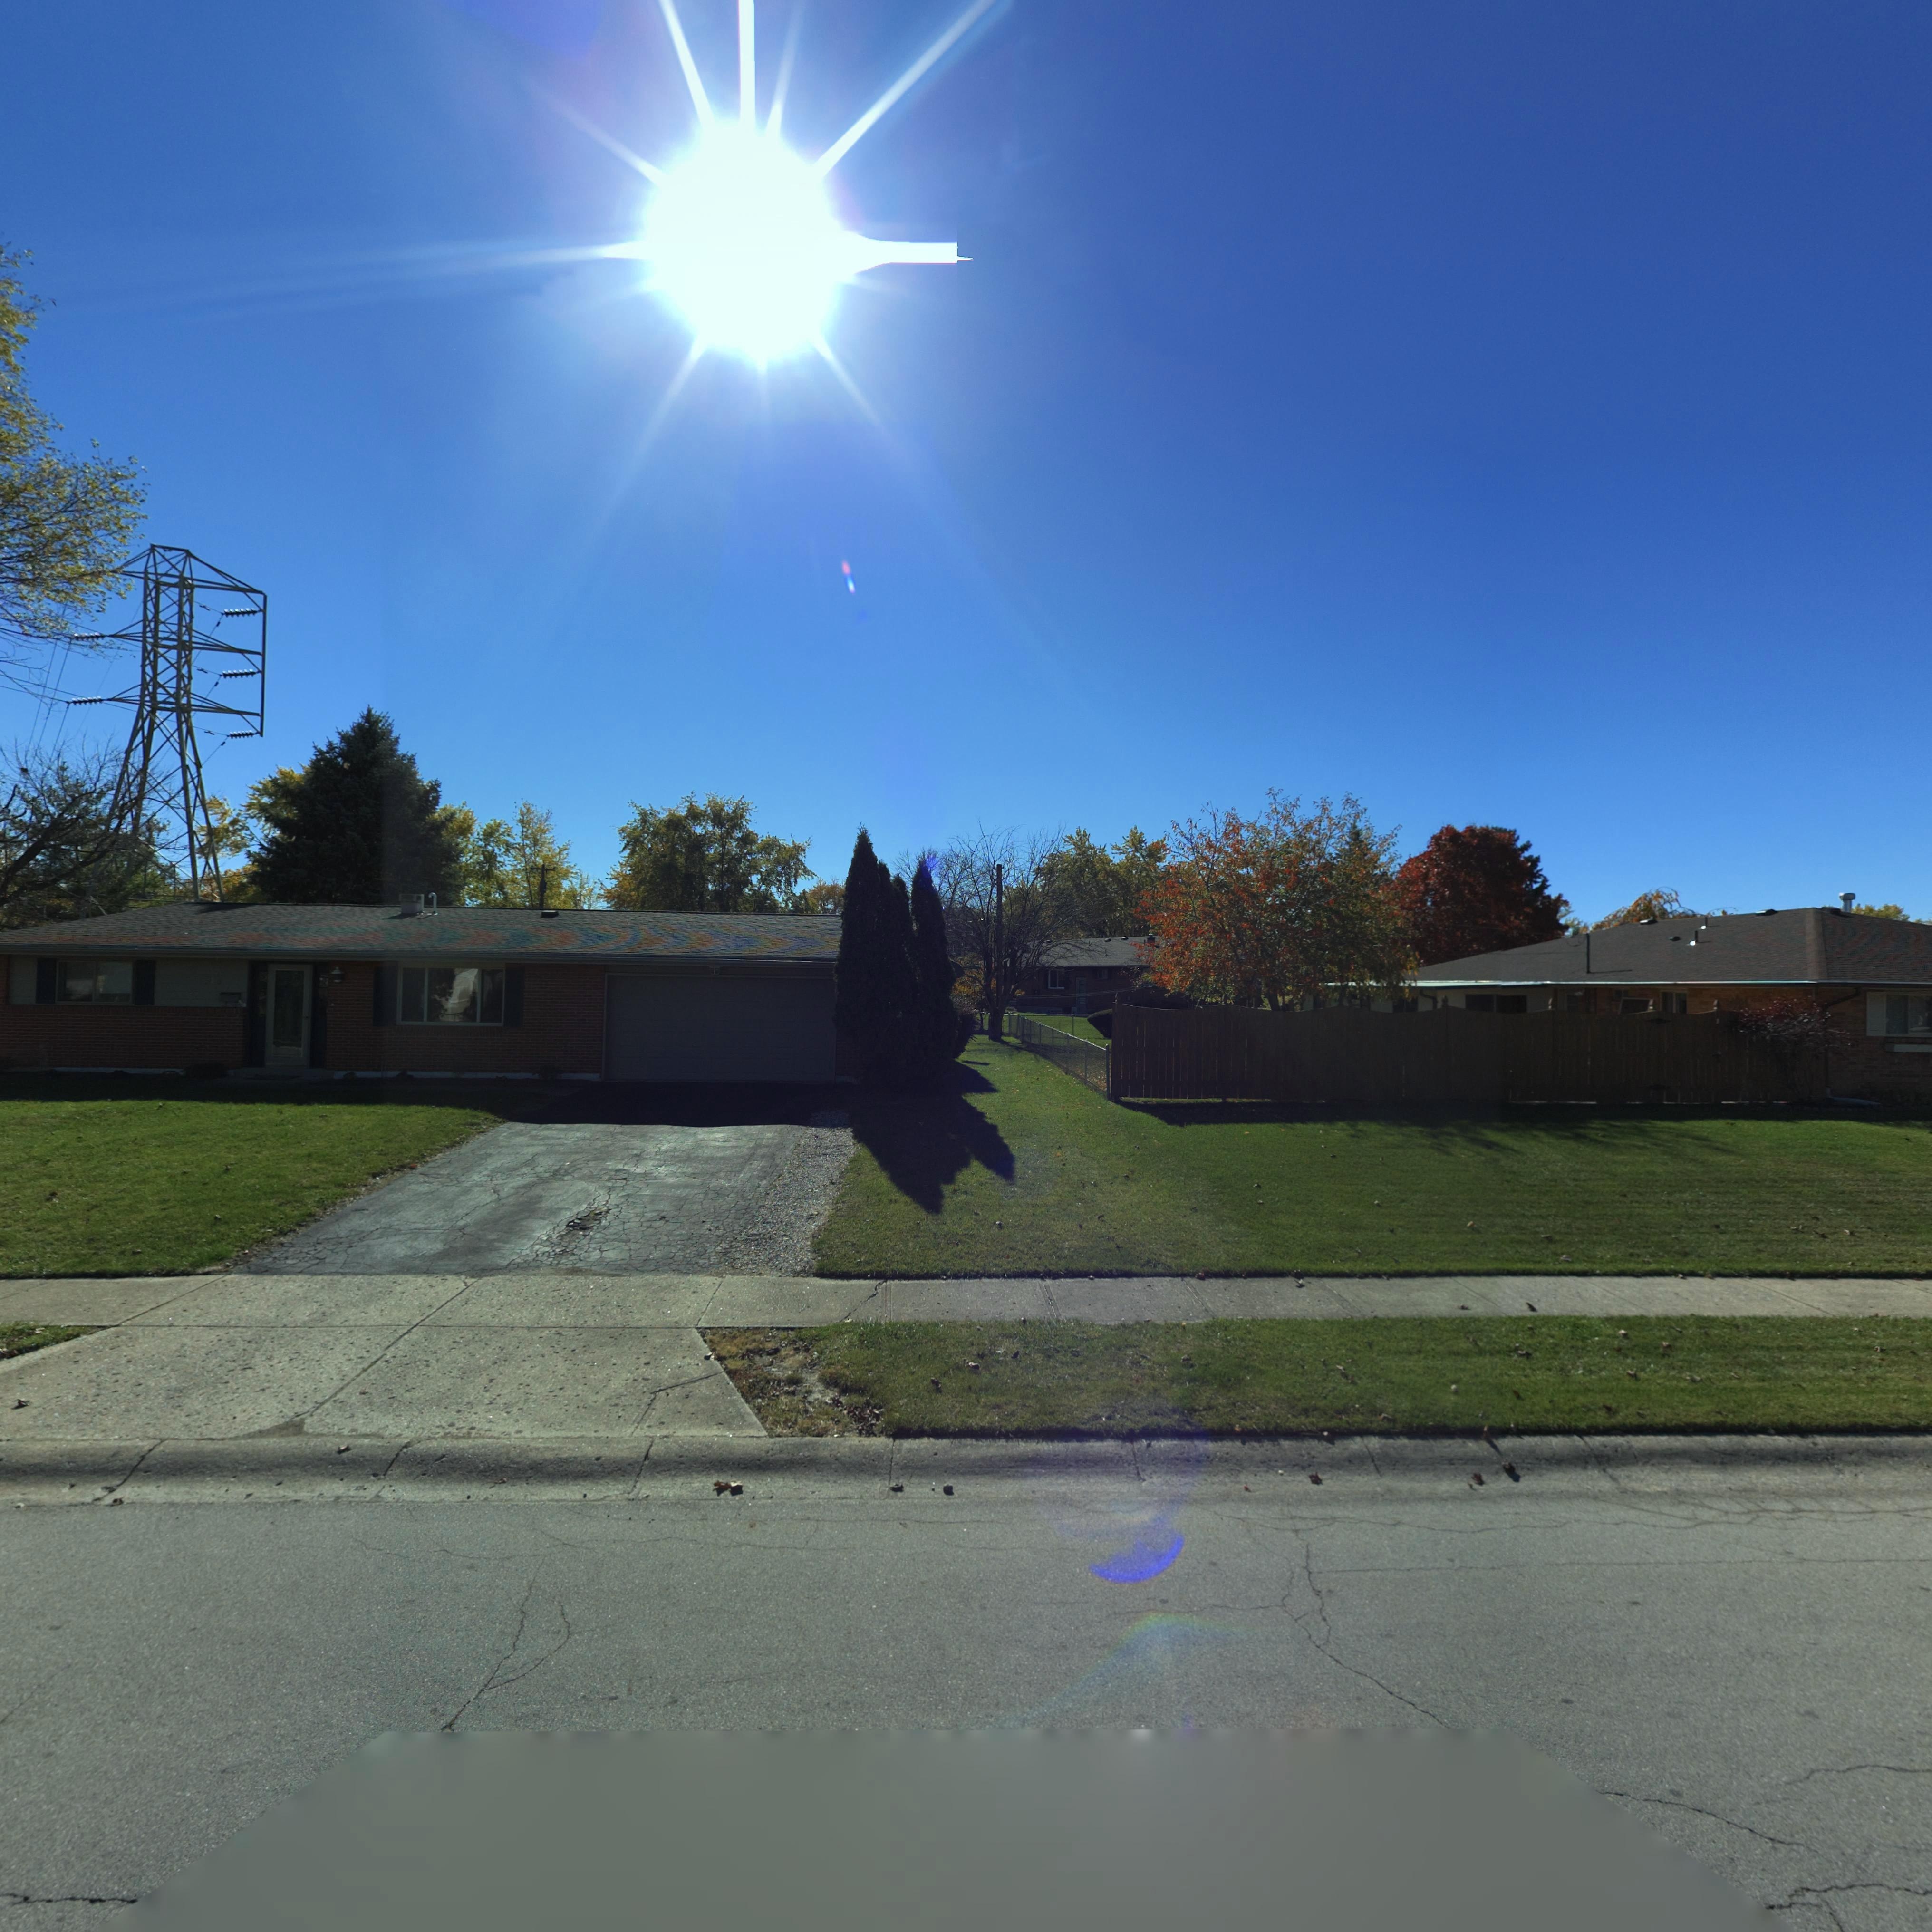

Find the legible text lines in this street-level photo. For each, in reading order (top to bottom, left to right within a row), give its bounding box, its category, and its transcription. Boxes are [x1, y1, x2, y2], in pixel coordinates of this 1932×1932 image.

[210, 977, 216, 985] StreetNumber: 2